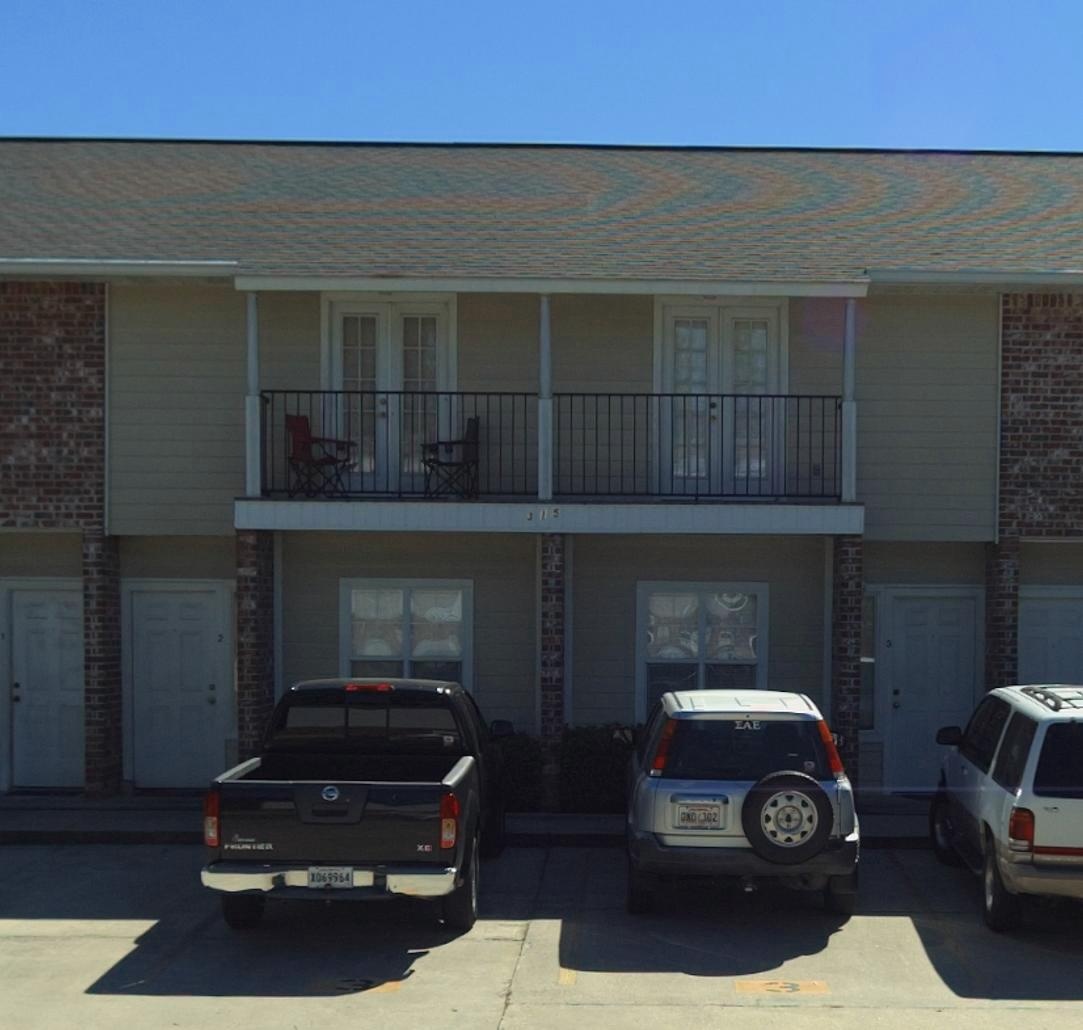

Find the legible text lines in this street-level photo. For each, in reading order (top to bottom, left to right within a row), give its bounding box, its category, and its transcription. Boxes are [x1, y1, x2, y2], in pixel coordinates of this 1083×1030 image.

[526, 507, 560, 521] StreetNumber: 315
[742, 720, 762, 730] None: AE
[700, 812, 718, 823] None: 302
[310, 872, 350, 883] None: X*69964